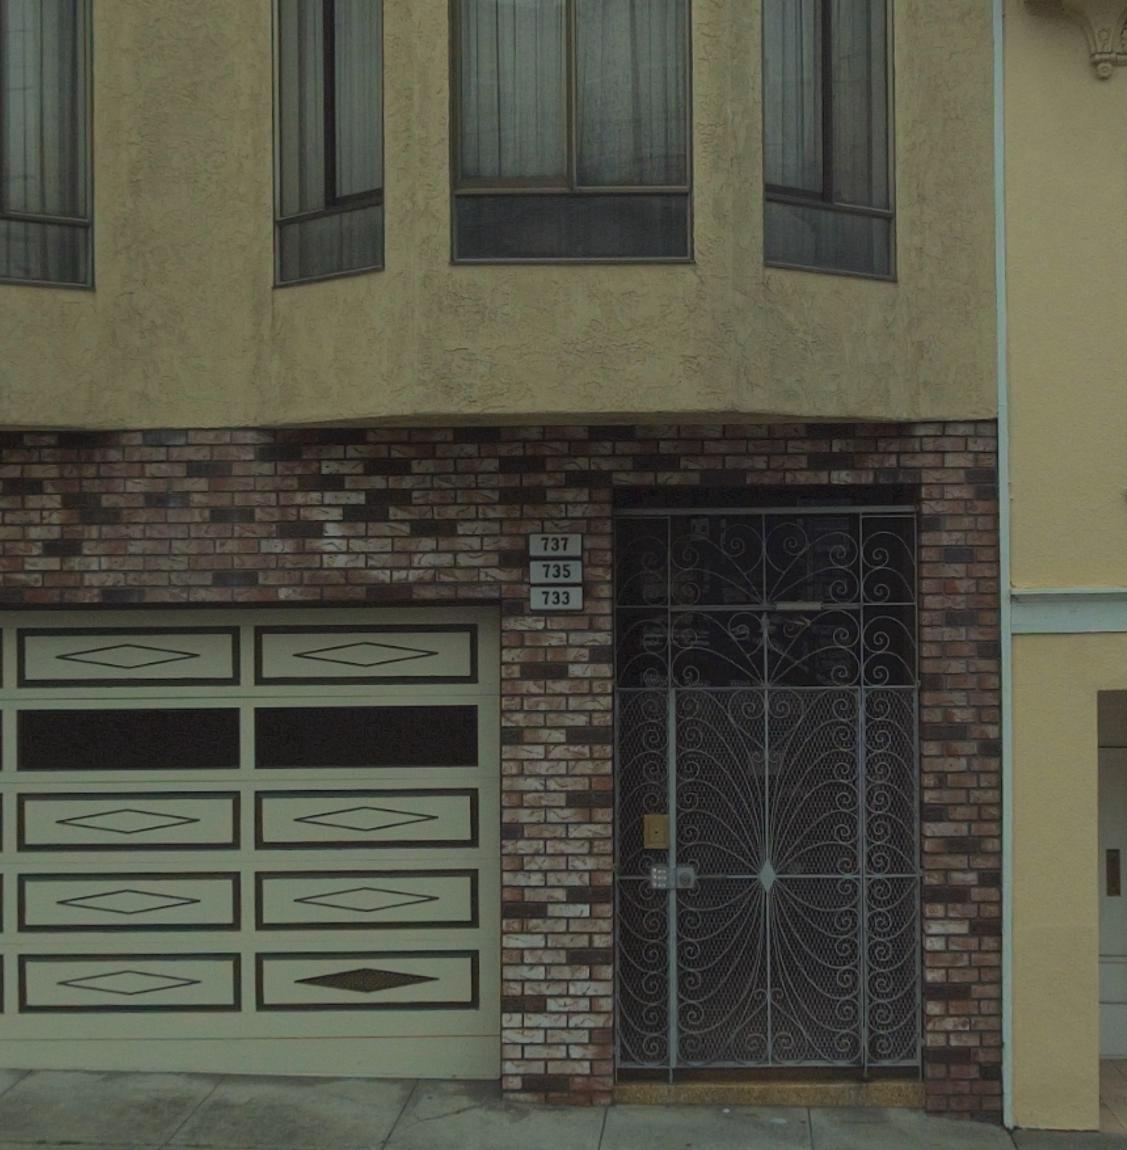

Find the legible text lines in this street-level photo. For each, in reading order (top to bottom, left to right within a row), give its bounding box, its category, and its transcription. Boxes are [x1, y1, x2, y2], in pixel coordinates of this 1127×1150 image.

[539, 535, 571, 553] StreetNumber: 737
[540, 562, 572, 579] StreetNumber: 735
[541, 588, 571, 607] StreetNumber: 733